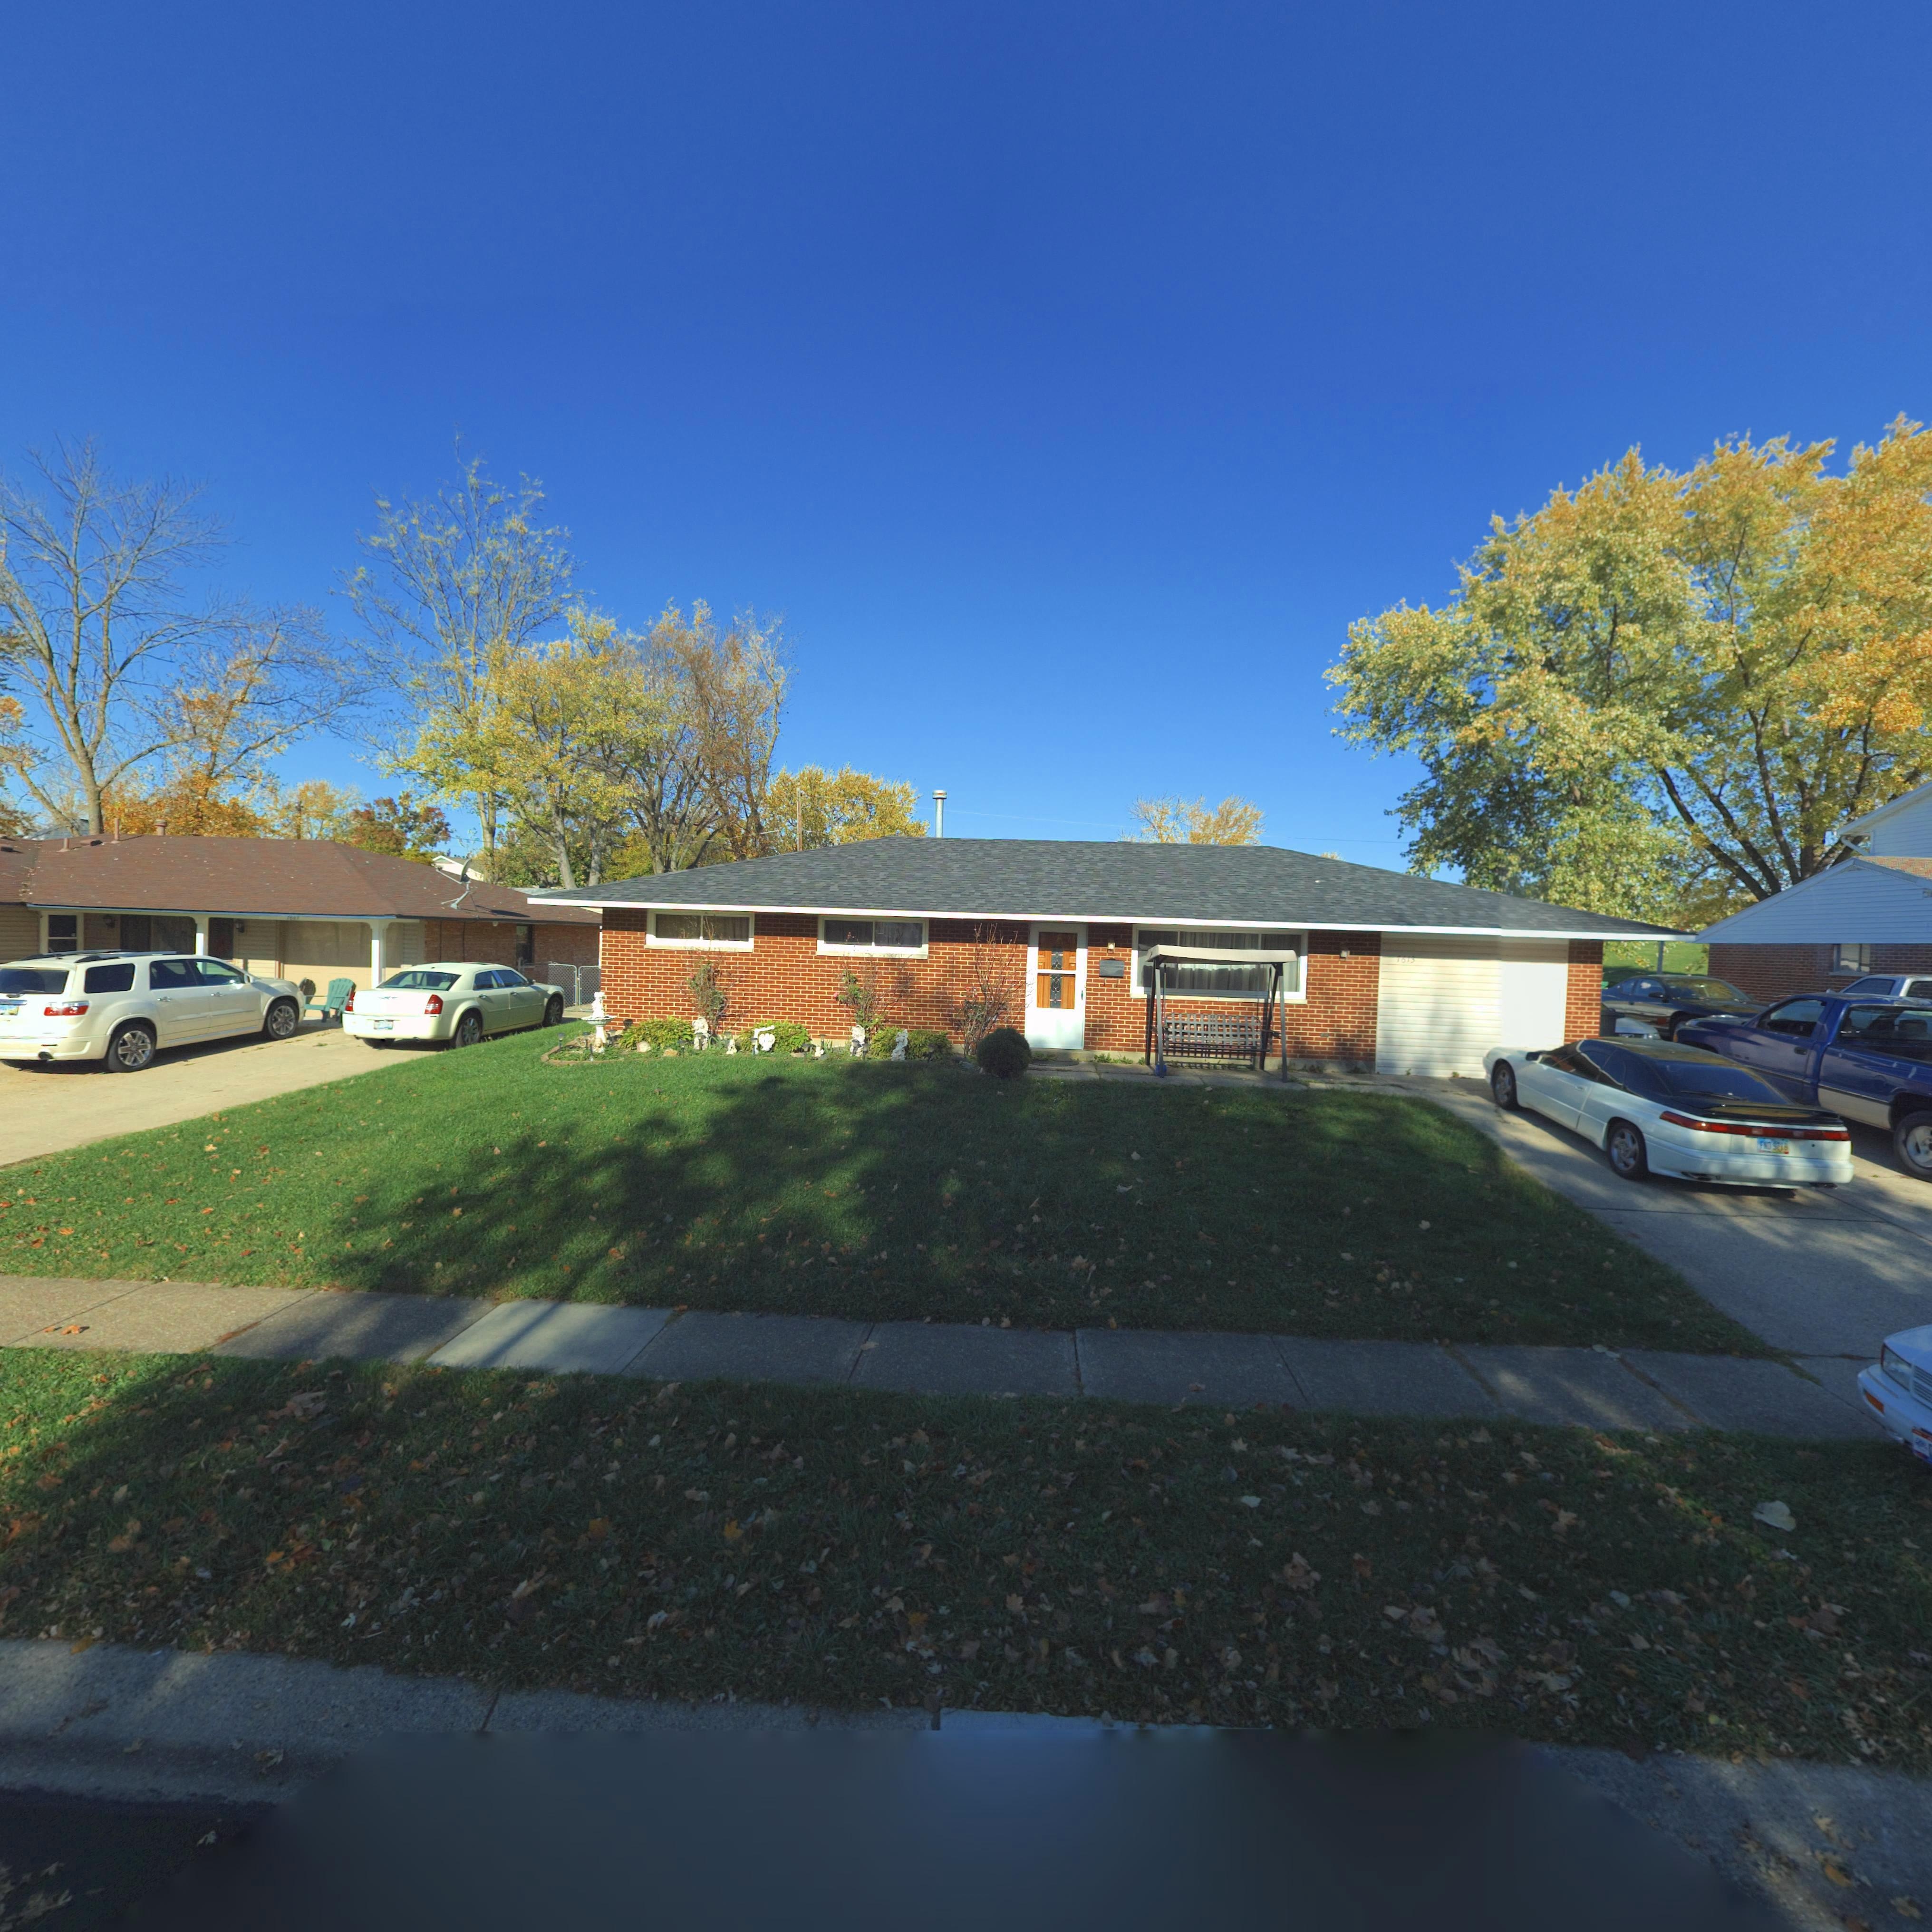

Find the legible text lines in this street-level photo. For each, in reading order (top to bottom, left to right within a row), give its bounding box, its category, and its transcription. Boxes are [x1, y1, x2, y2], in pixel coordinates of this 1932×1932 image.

[1395, 954, 1417, 965] StreetNumber: 7613